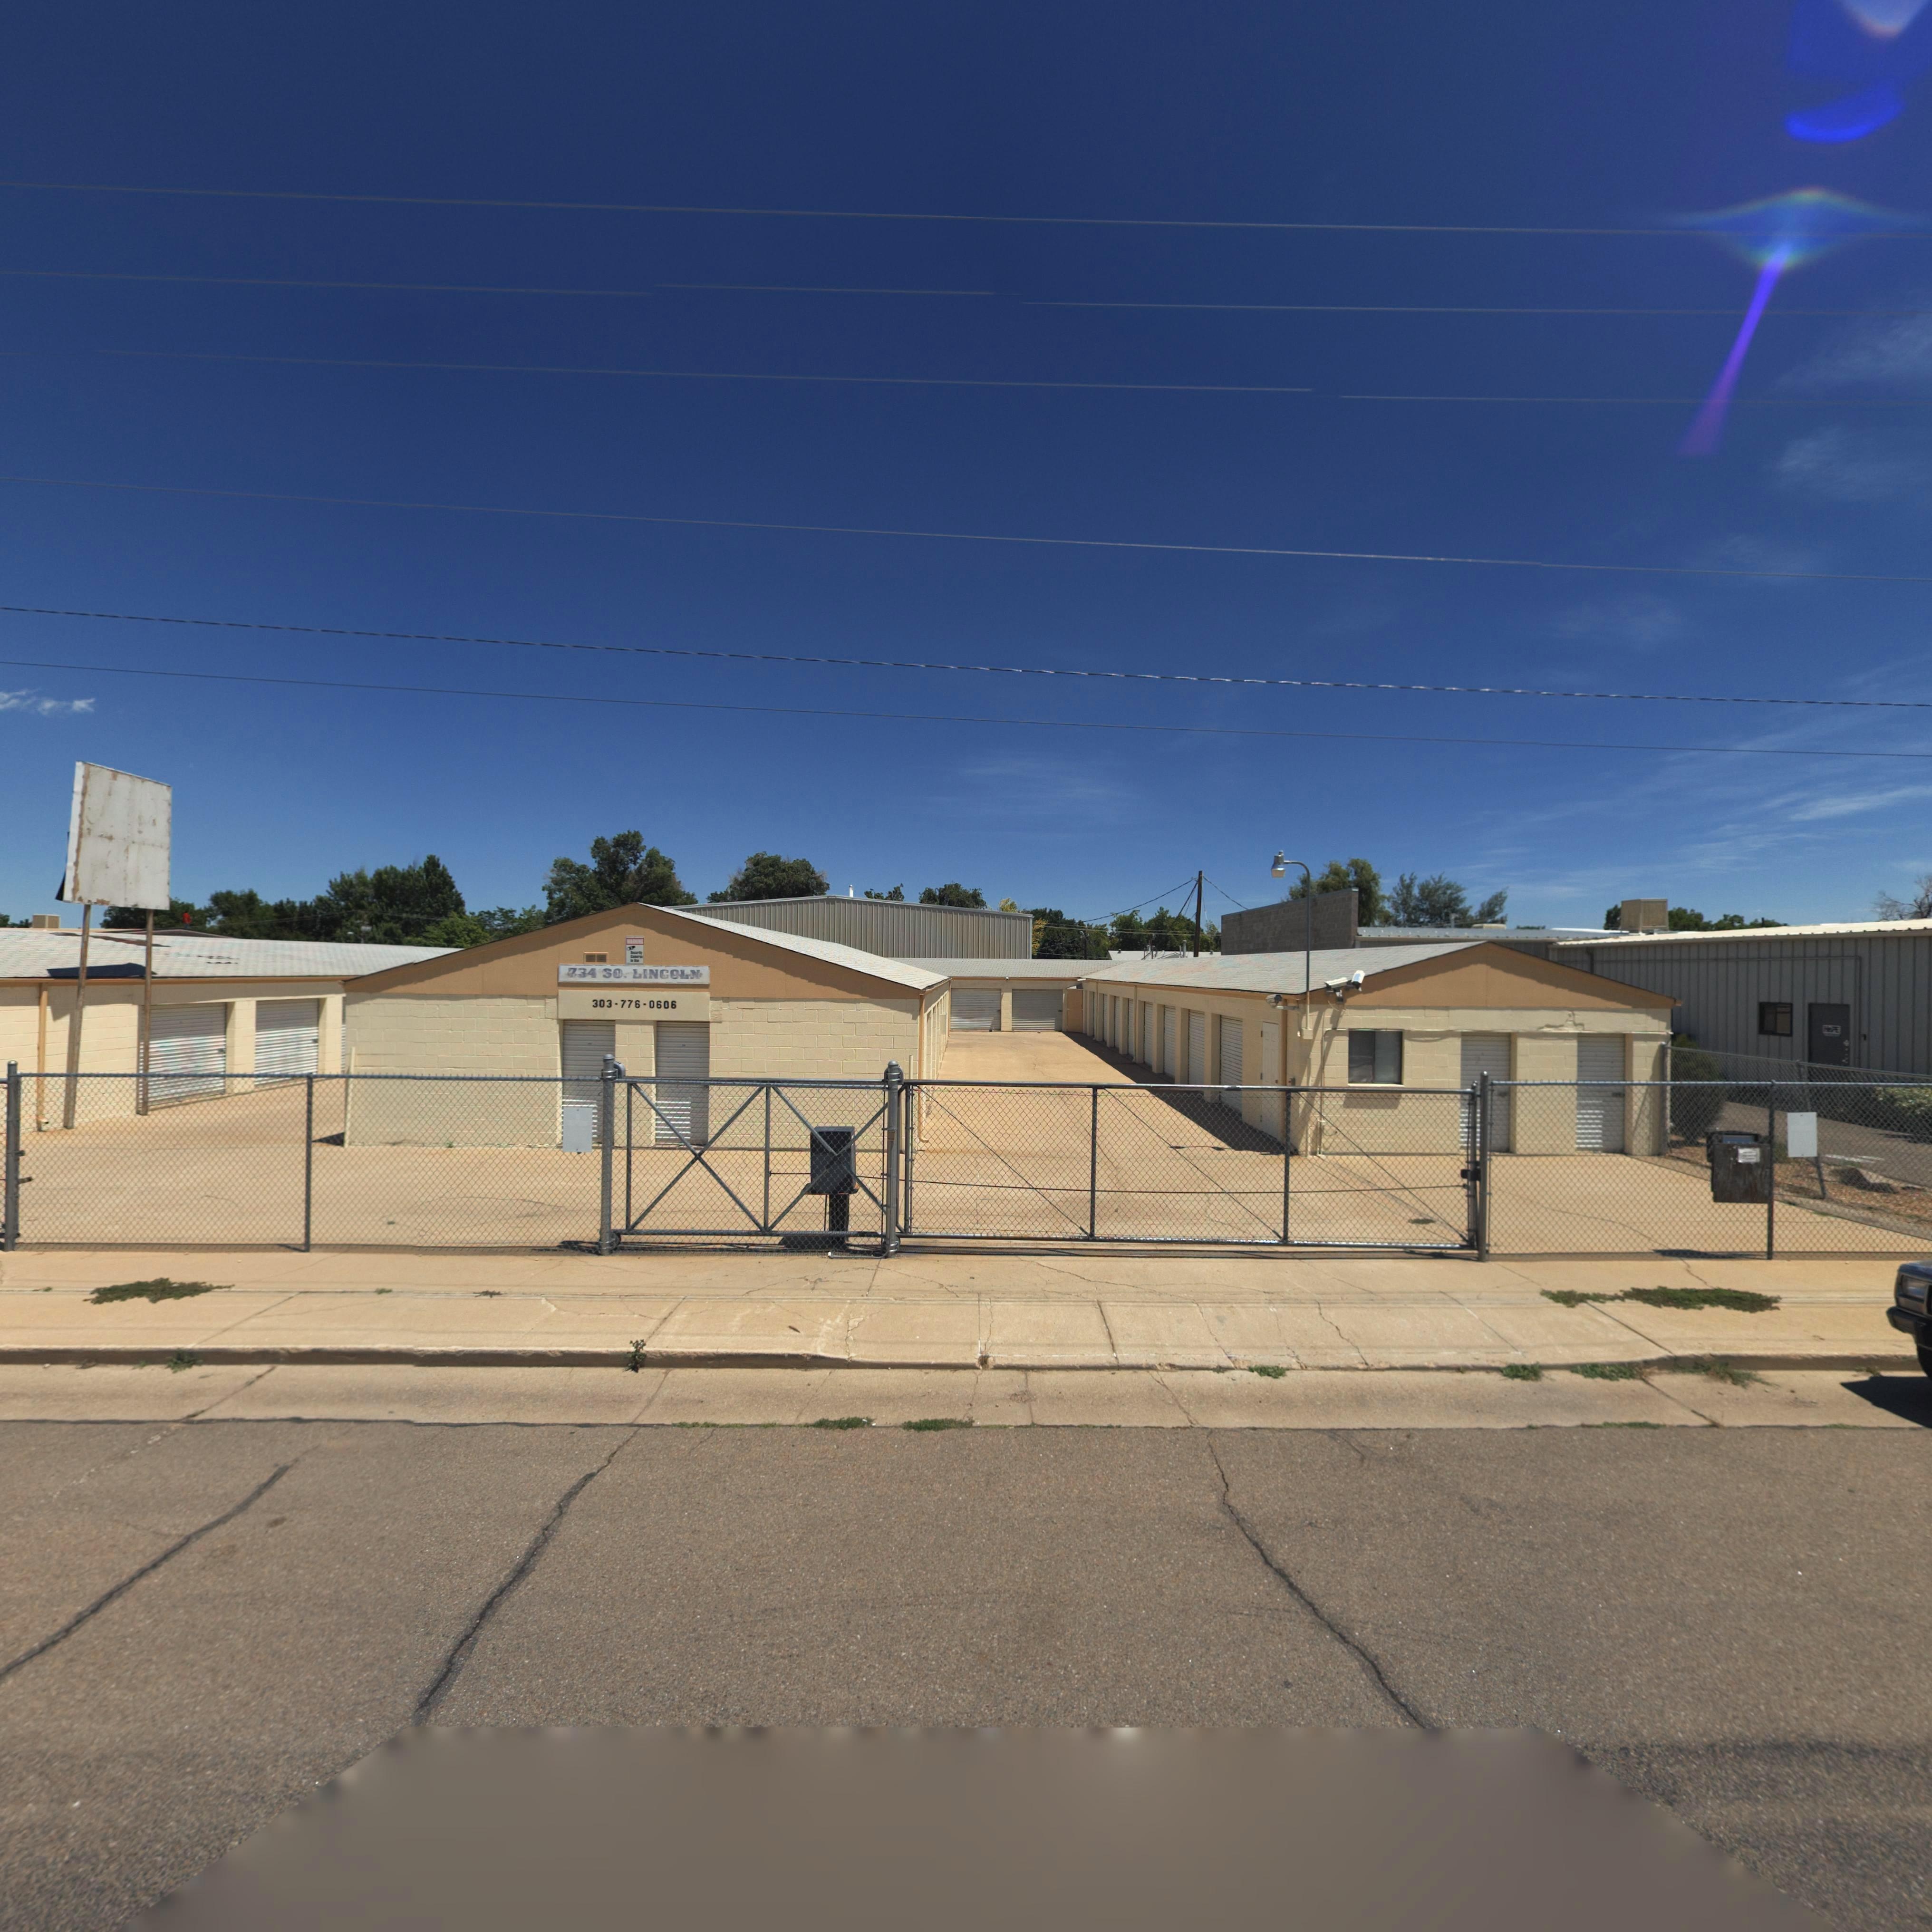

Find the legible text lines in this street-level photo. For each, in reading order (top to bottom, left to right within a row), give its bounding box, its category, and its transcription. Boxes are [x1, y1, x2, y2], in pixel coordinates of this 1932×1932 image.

[568, 967, 596, 978] StreetNumber: 734
[602, 968, 700, 979] StreetName: SO. LINCOLN
[1823, 1025, 1839, 1033] BusinessName: H*PE